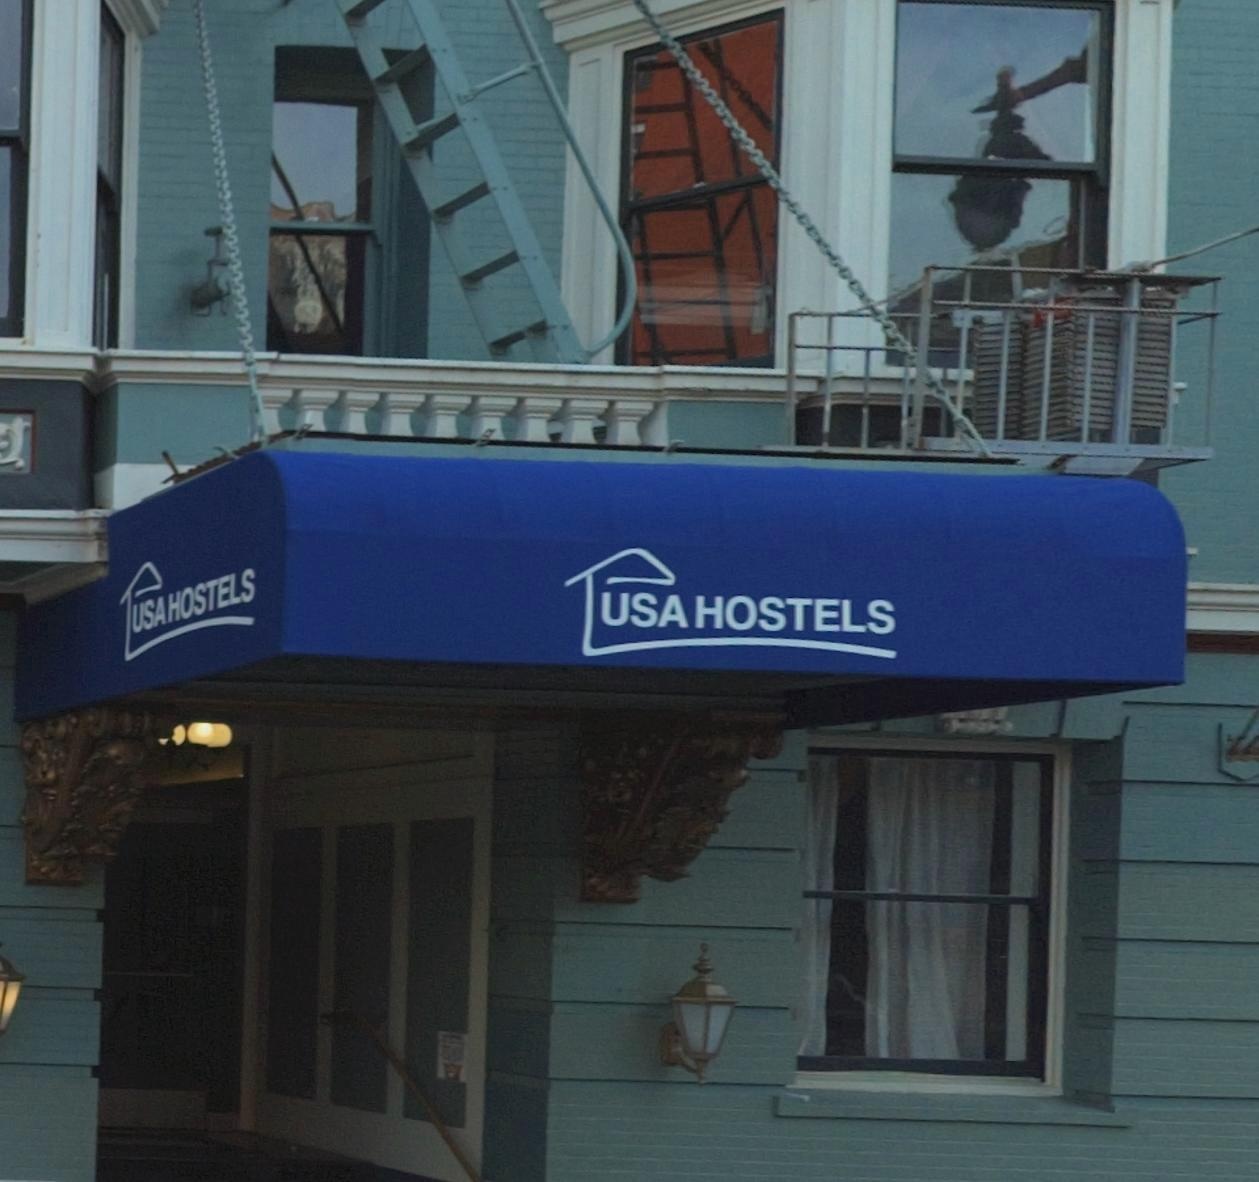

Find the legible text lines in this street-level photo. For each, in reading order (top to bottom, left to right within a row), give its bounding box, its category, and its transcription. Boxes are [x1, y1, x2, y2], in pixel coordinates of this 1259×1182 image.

[130, 563, 258, 636] BusinessName: USA HOSTELS
[597, 589, 899, 638] BusinessName: USA HOSTELS